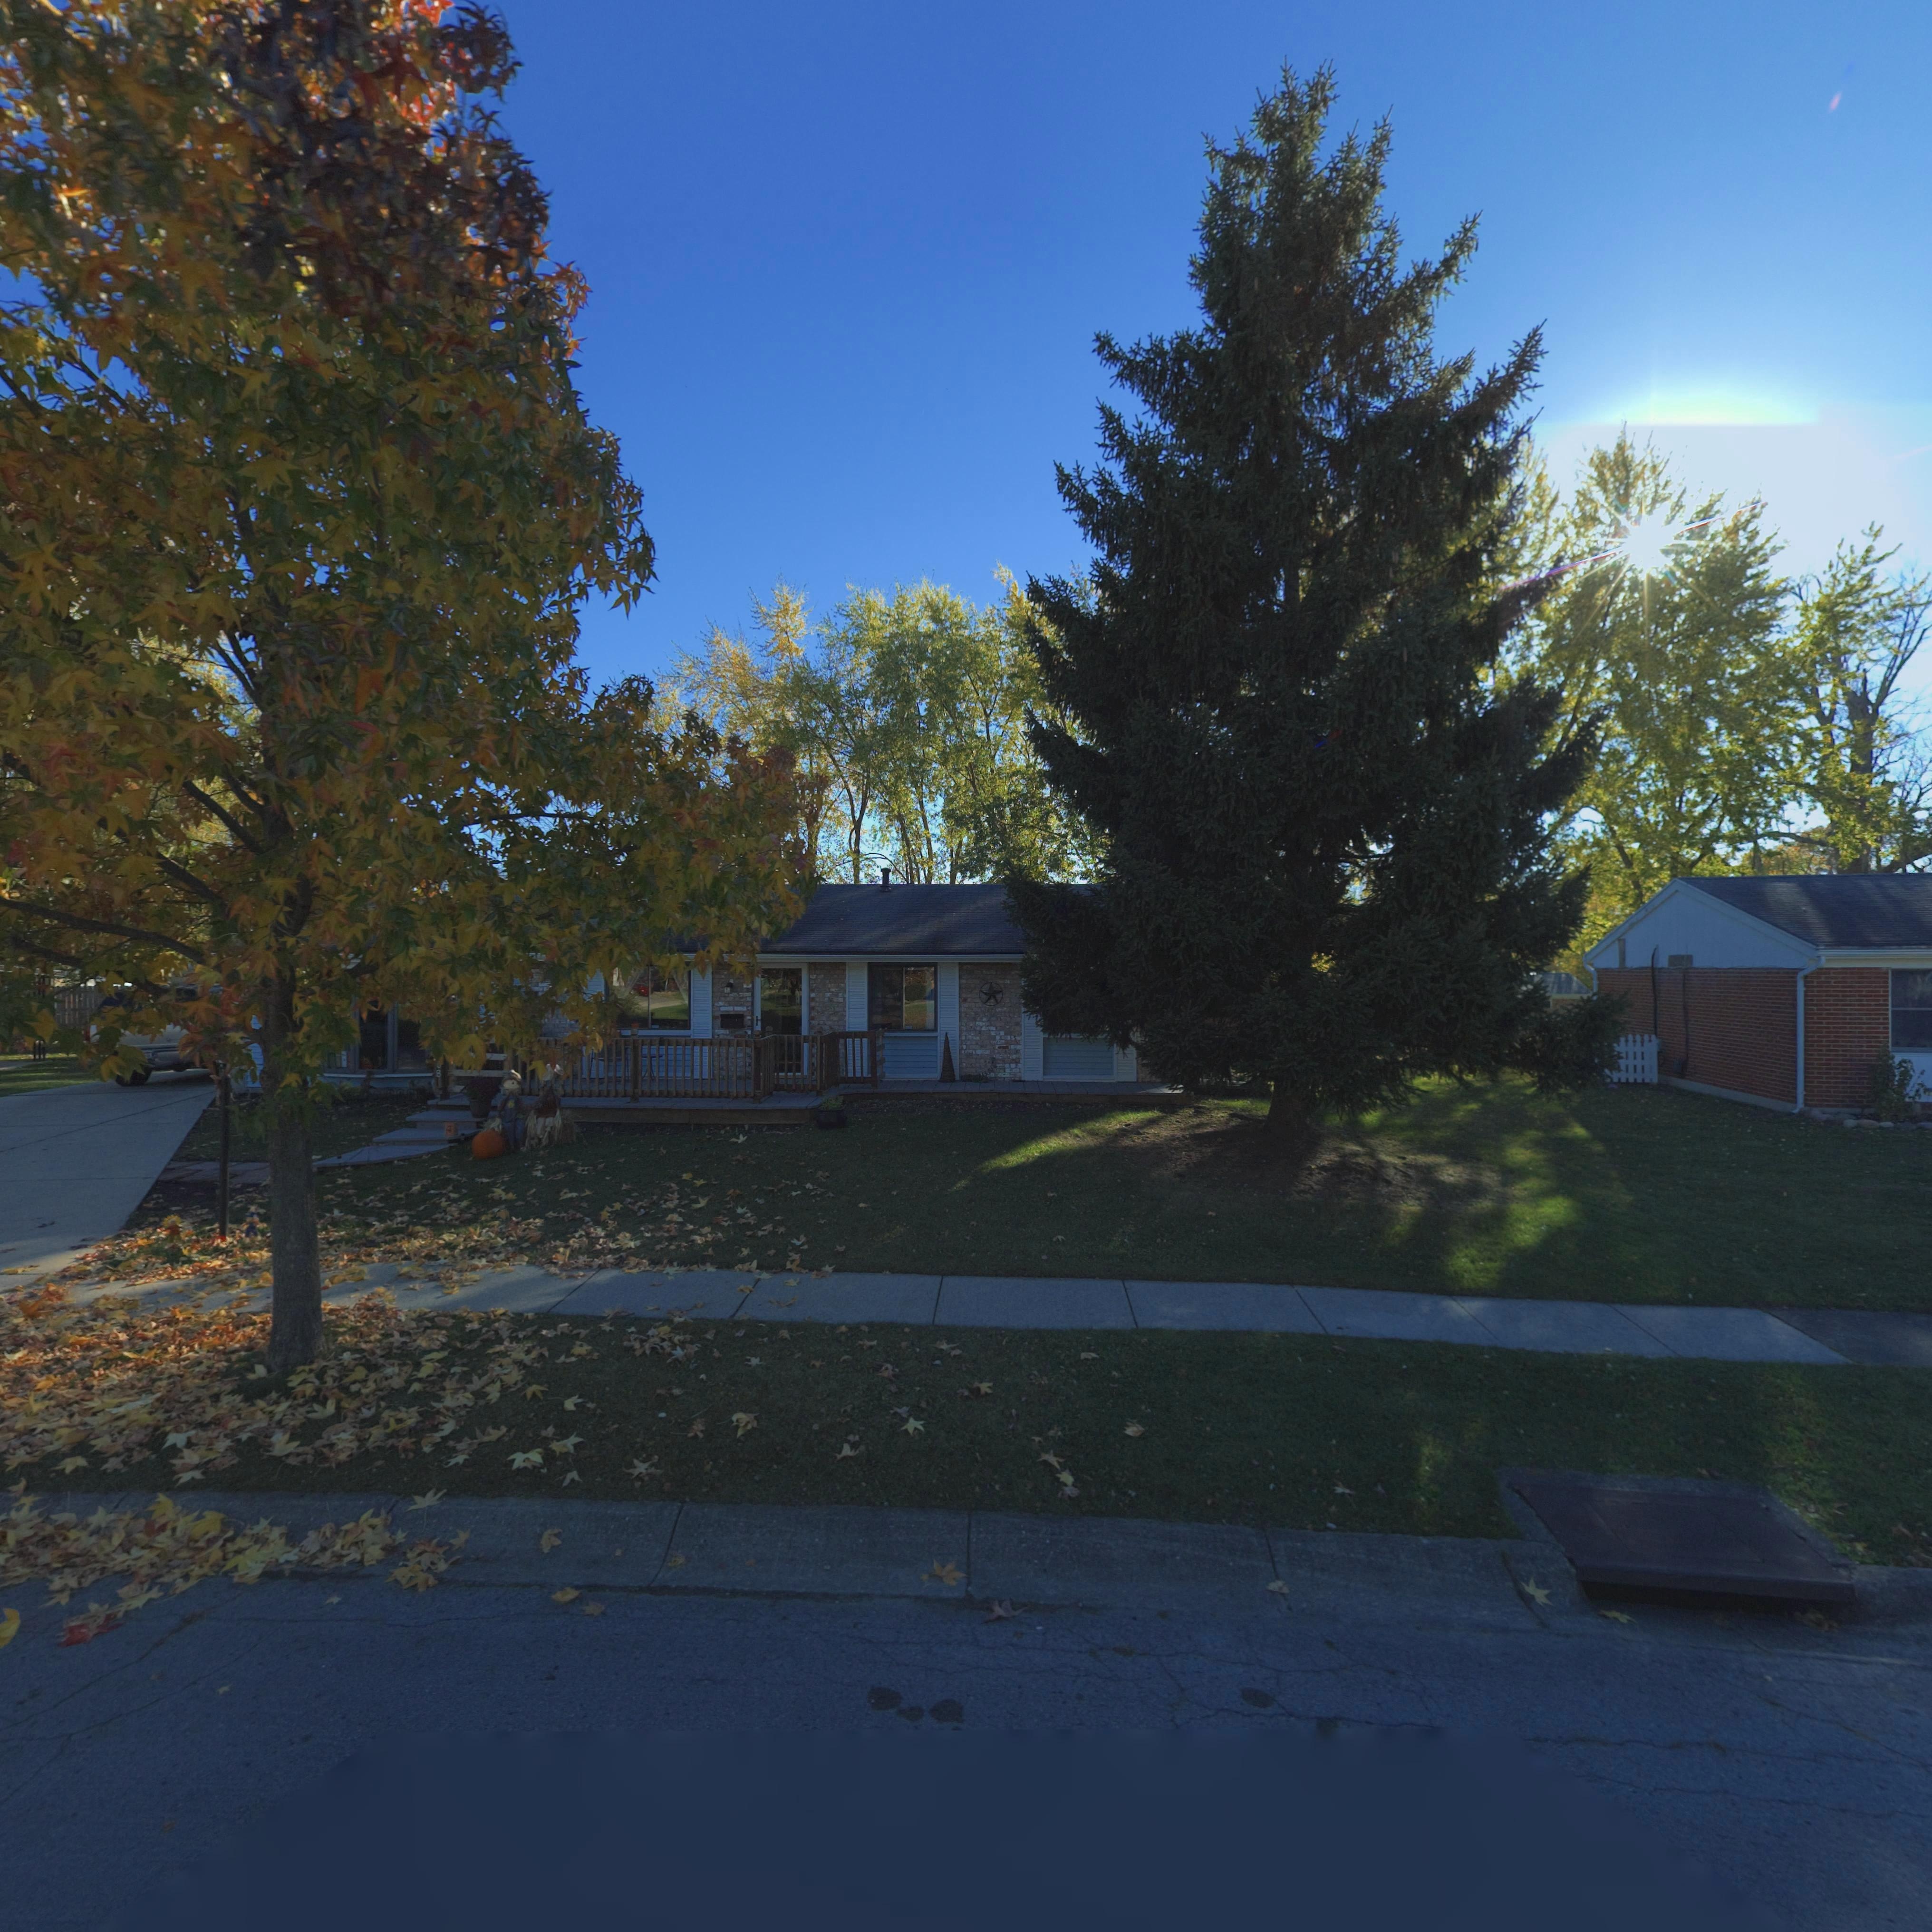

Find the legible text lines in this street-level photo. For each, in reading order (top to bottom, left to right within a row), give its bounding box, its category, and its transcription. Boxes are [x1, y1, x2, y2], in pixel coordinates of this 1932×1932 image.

[436, 1069, 442, 1078] StreetNumber: 8